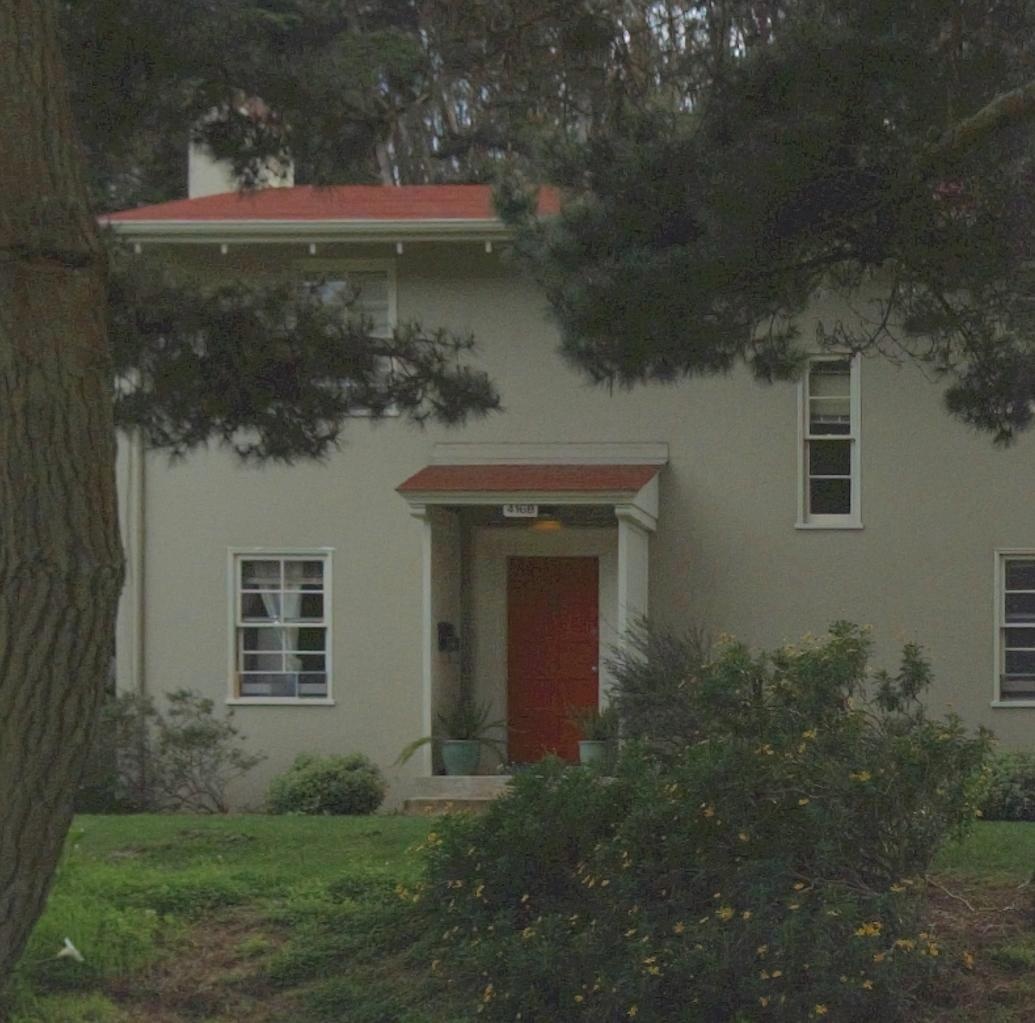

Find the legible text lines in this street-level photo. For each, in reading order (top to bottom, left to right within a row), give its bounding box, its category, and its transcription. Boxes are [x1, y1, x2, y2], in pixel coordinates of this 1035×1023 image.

[507, 503, 536, 515] StreetNumber: 4168